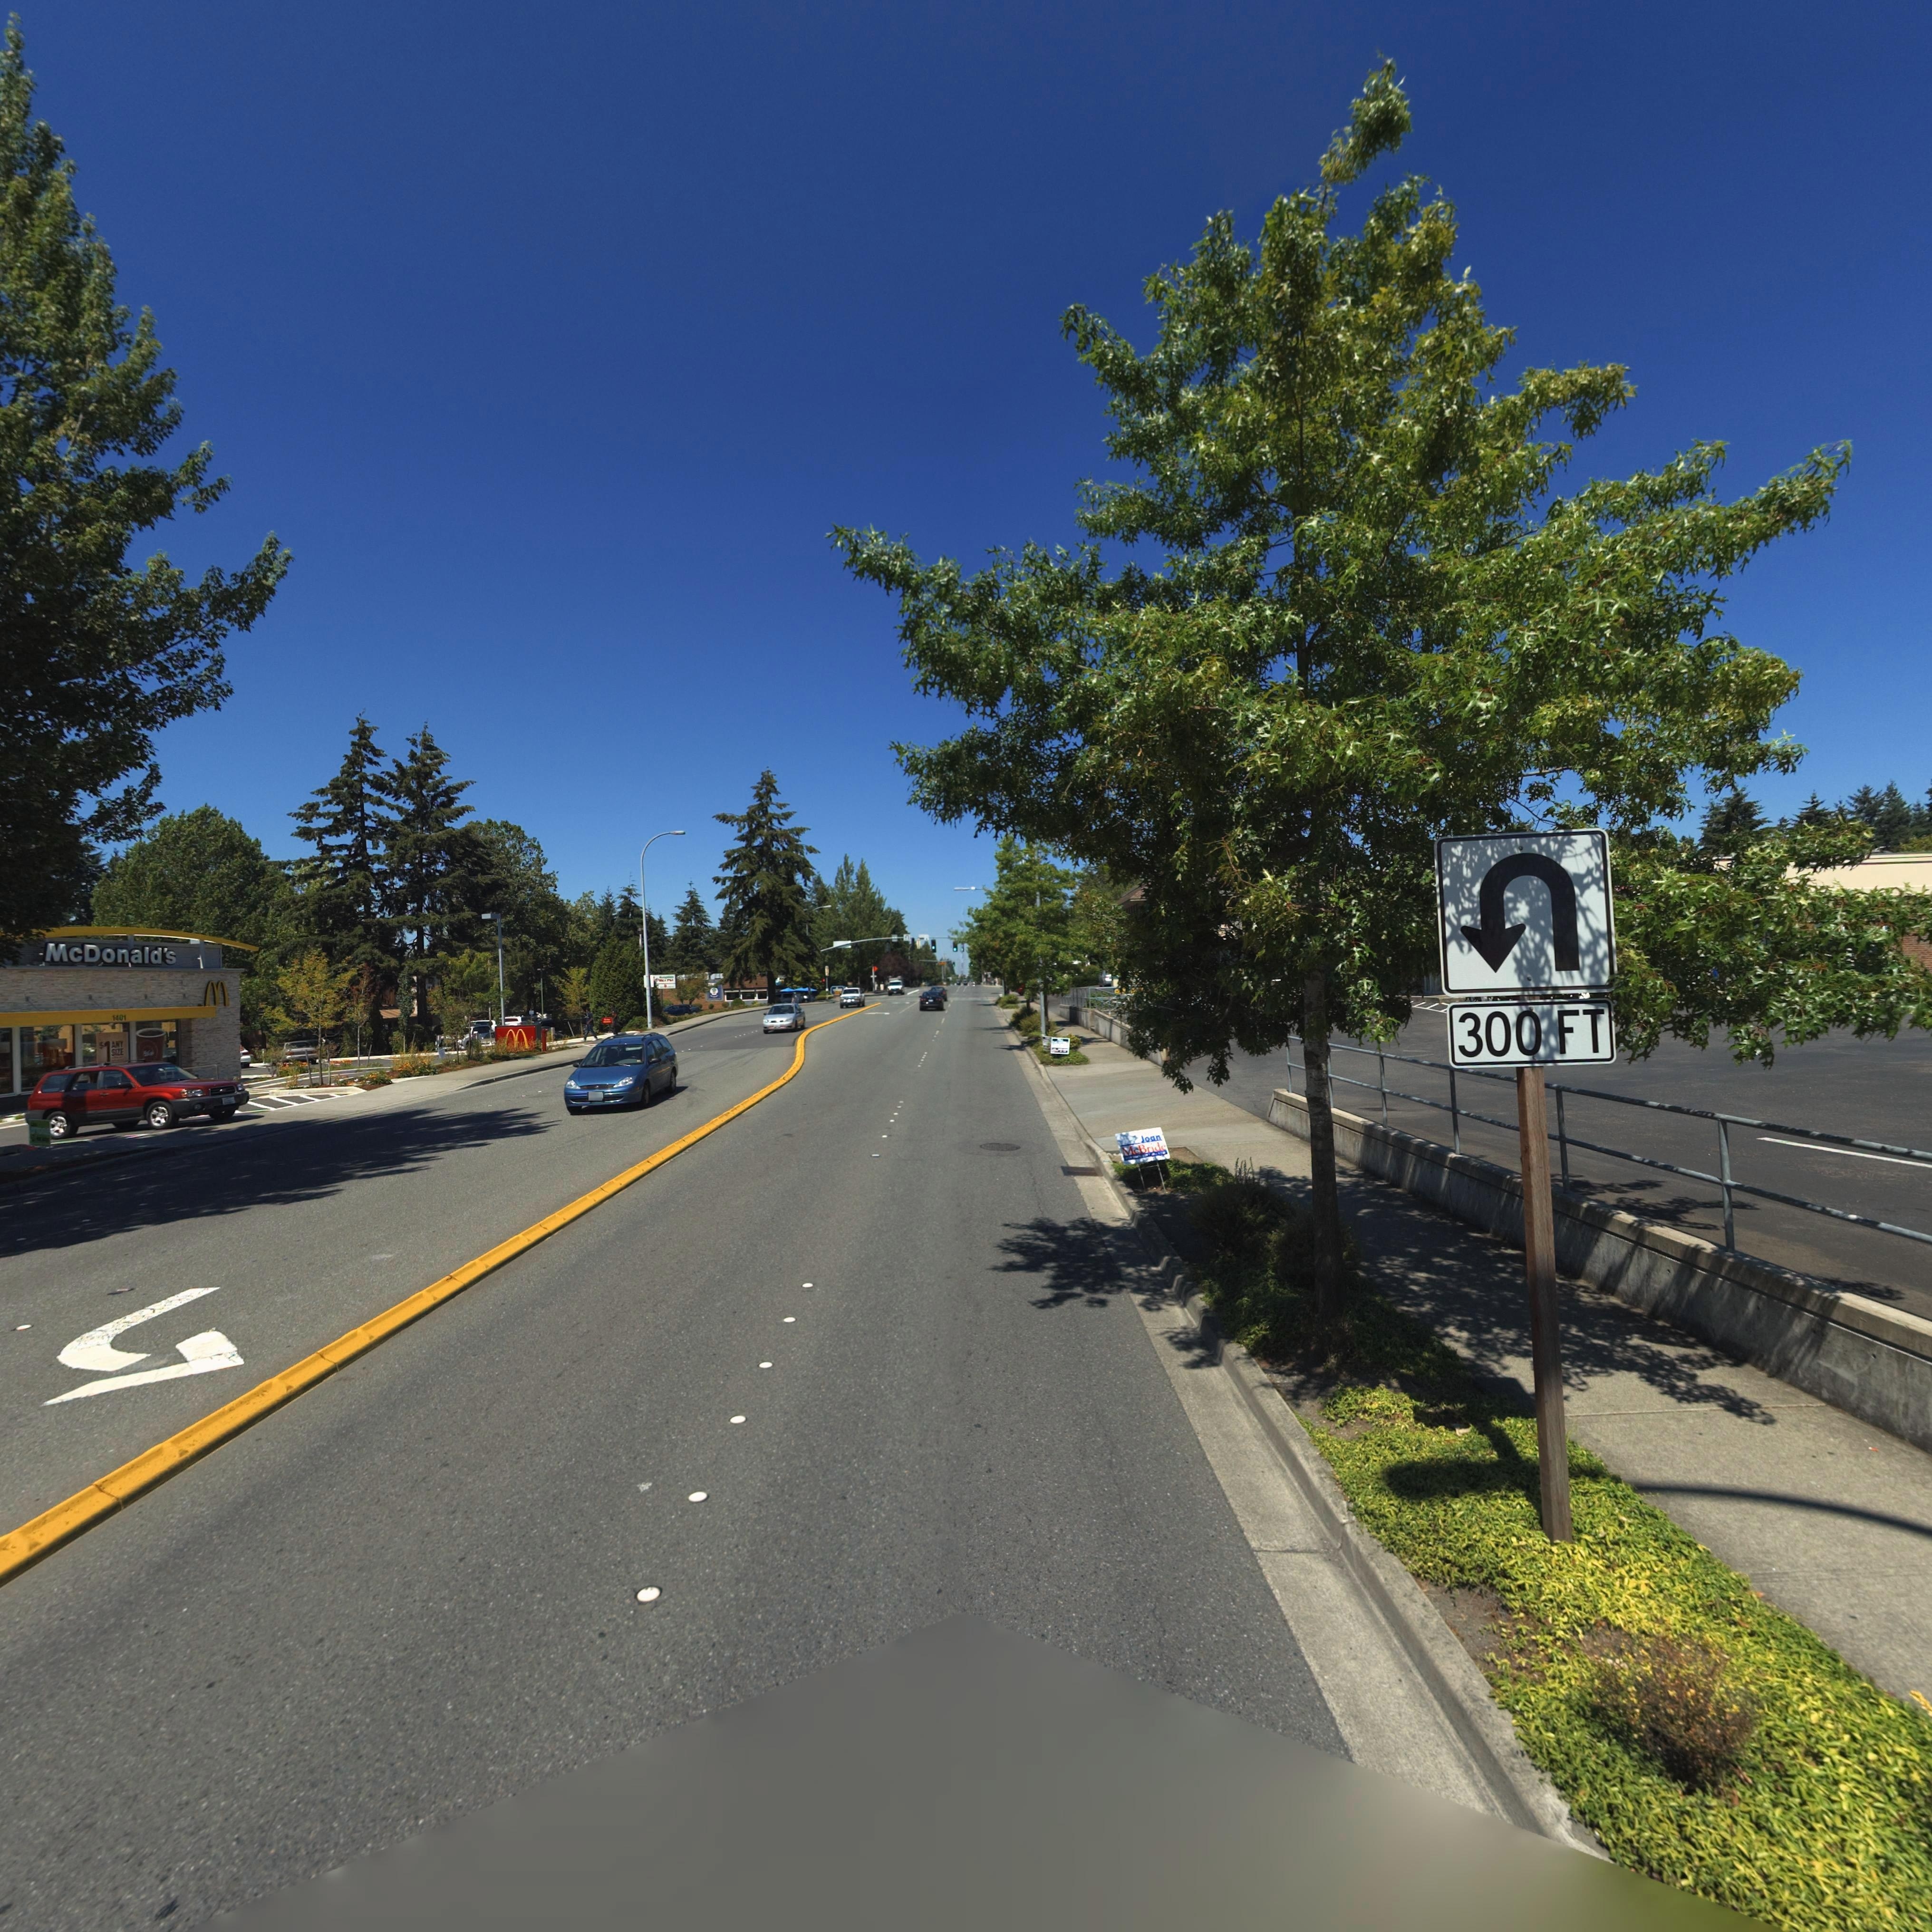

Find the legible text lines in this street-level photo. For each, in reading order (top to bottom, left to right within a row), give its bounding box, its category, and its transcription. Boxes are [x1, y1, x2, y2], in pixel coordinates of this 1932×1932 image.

[44, 941, 178, 964] BusinessName: McDonald*s
[111, 1014, 127, 1021] StreetNumber: 1401